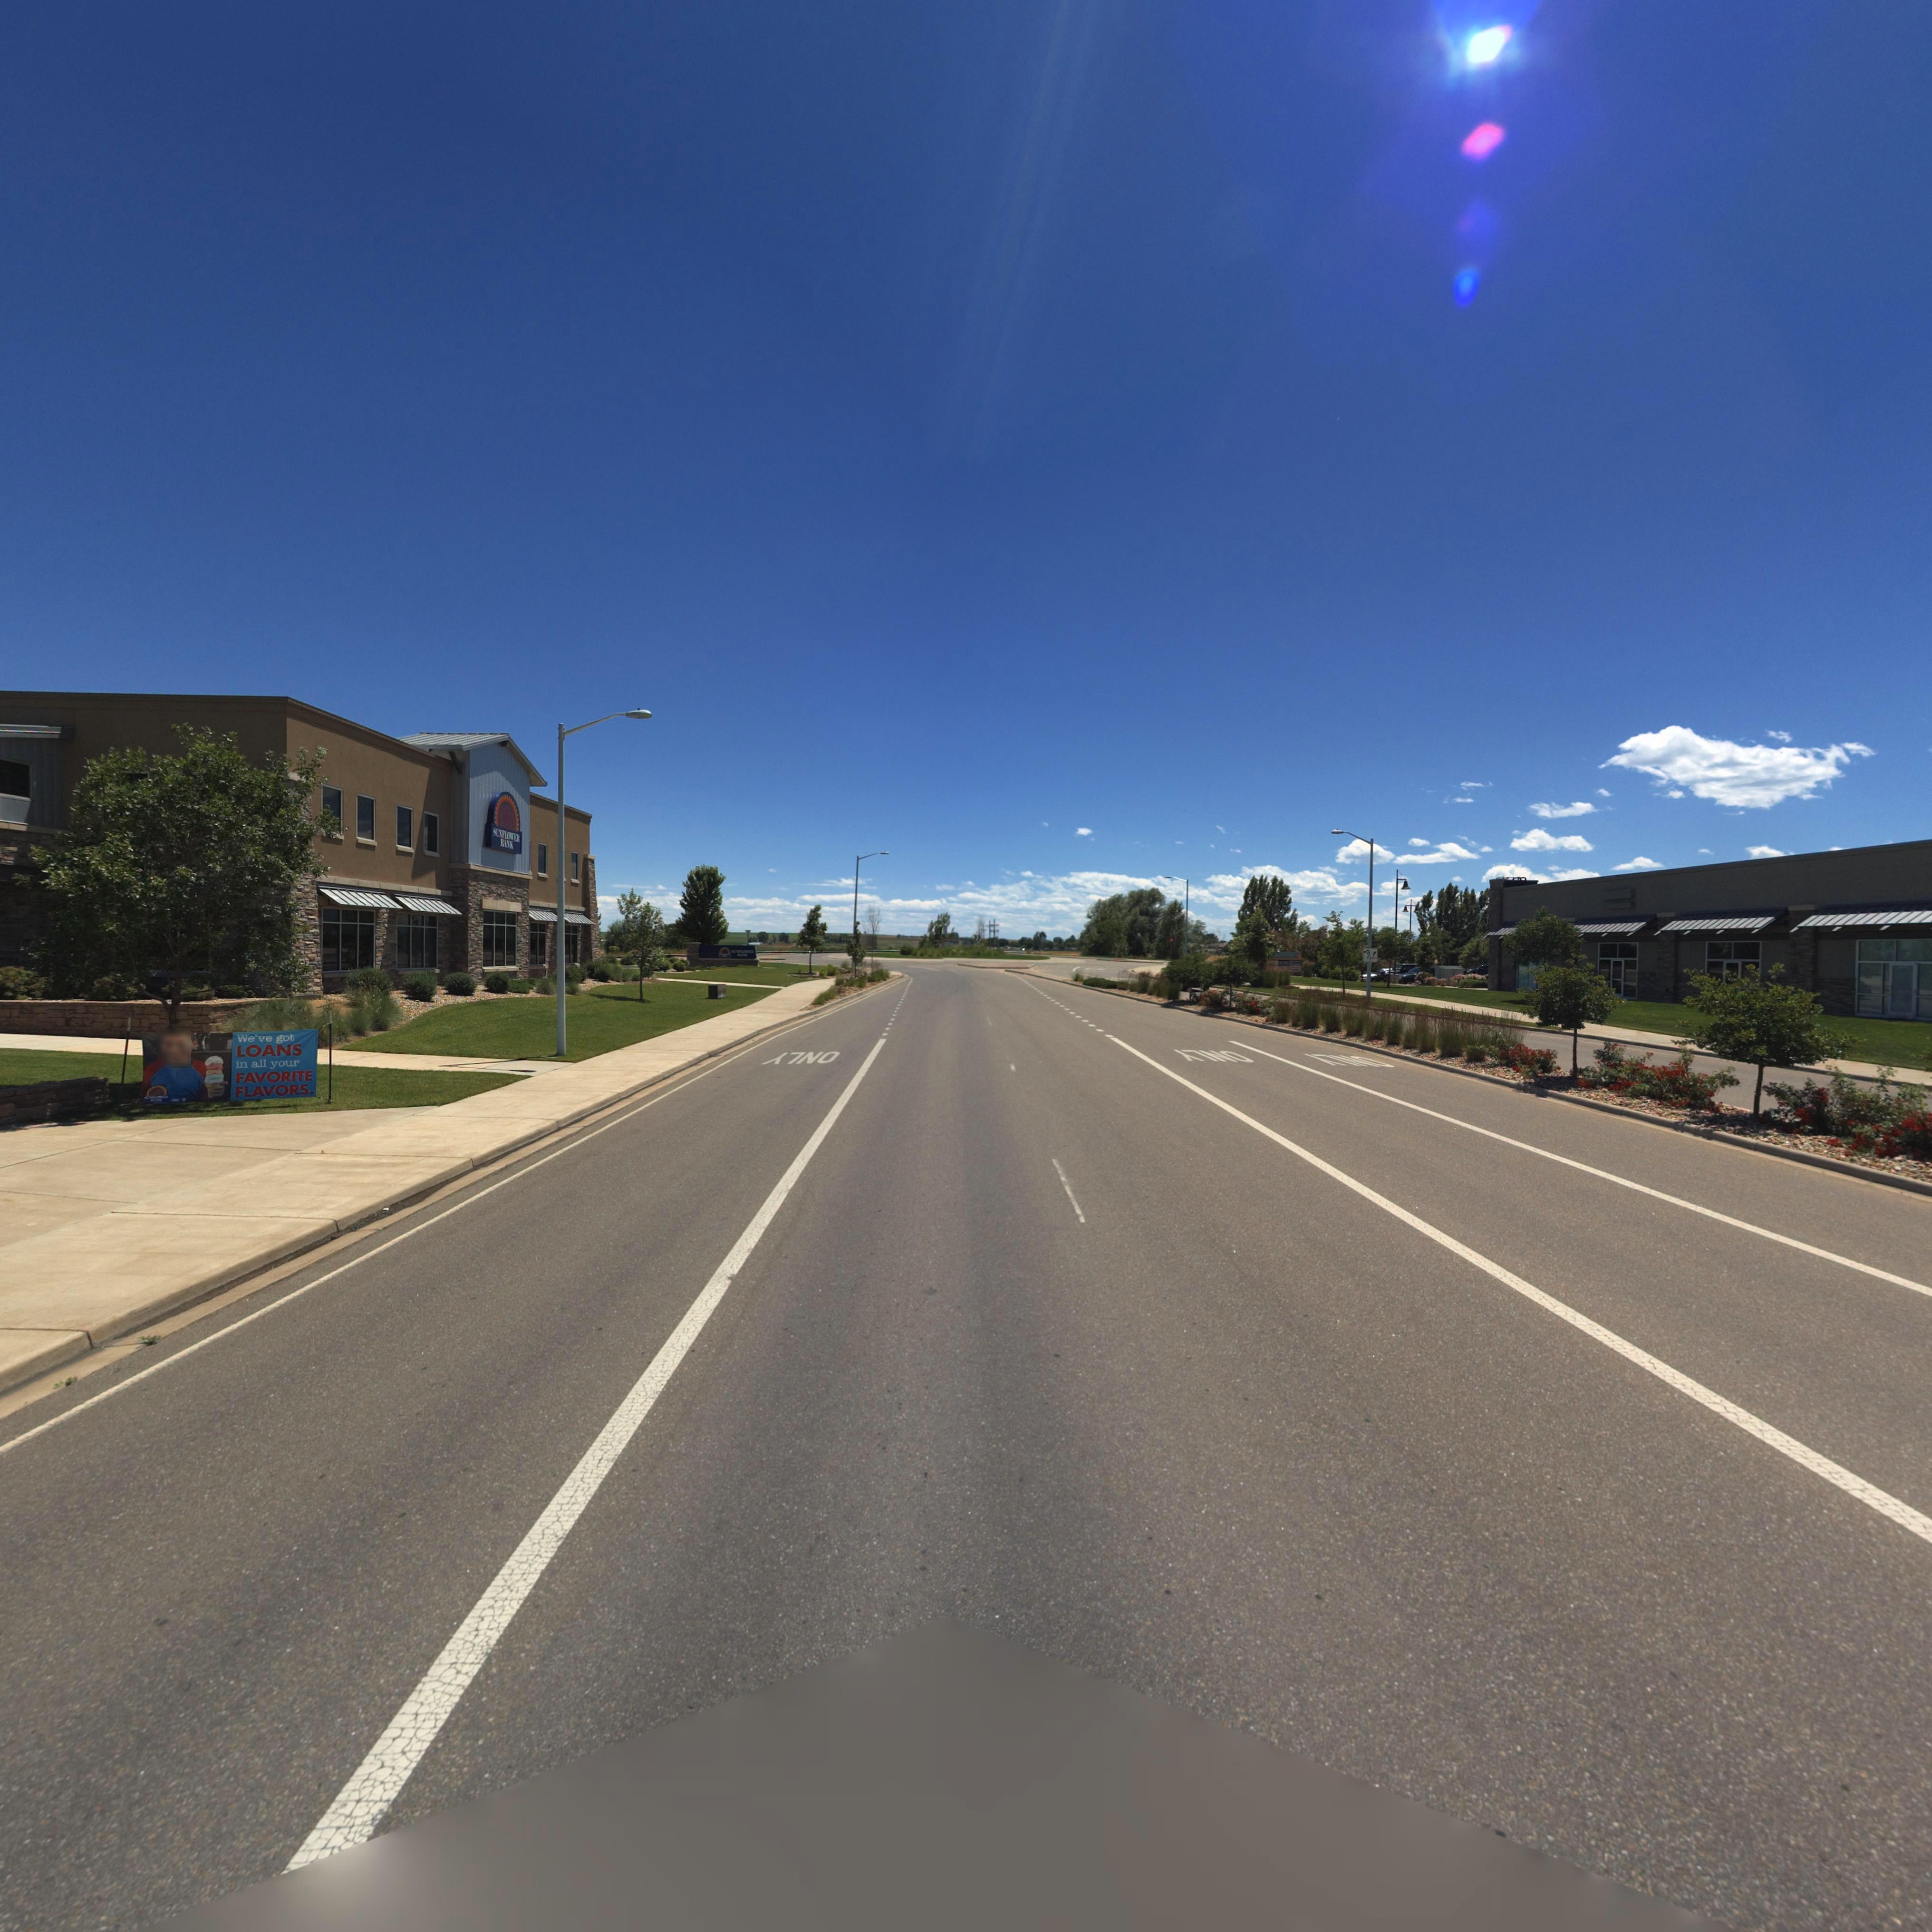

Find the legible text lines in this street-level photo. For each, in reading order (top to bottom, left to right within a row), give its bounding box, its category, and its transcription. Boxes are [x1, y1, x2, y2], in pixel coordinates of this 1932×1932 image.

[492, 827, 520, 842] BusinessName: SUNFLOWER
[500, 838, 514, 850] BusinessName: BANK
[737, 953, 747, 956] BusinessName: BANK
[731, 949, 754, 953] BusinessName: SUNFLOWER